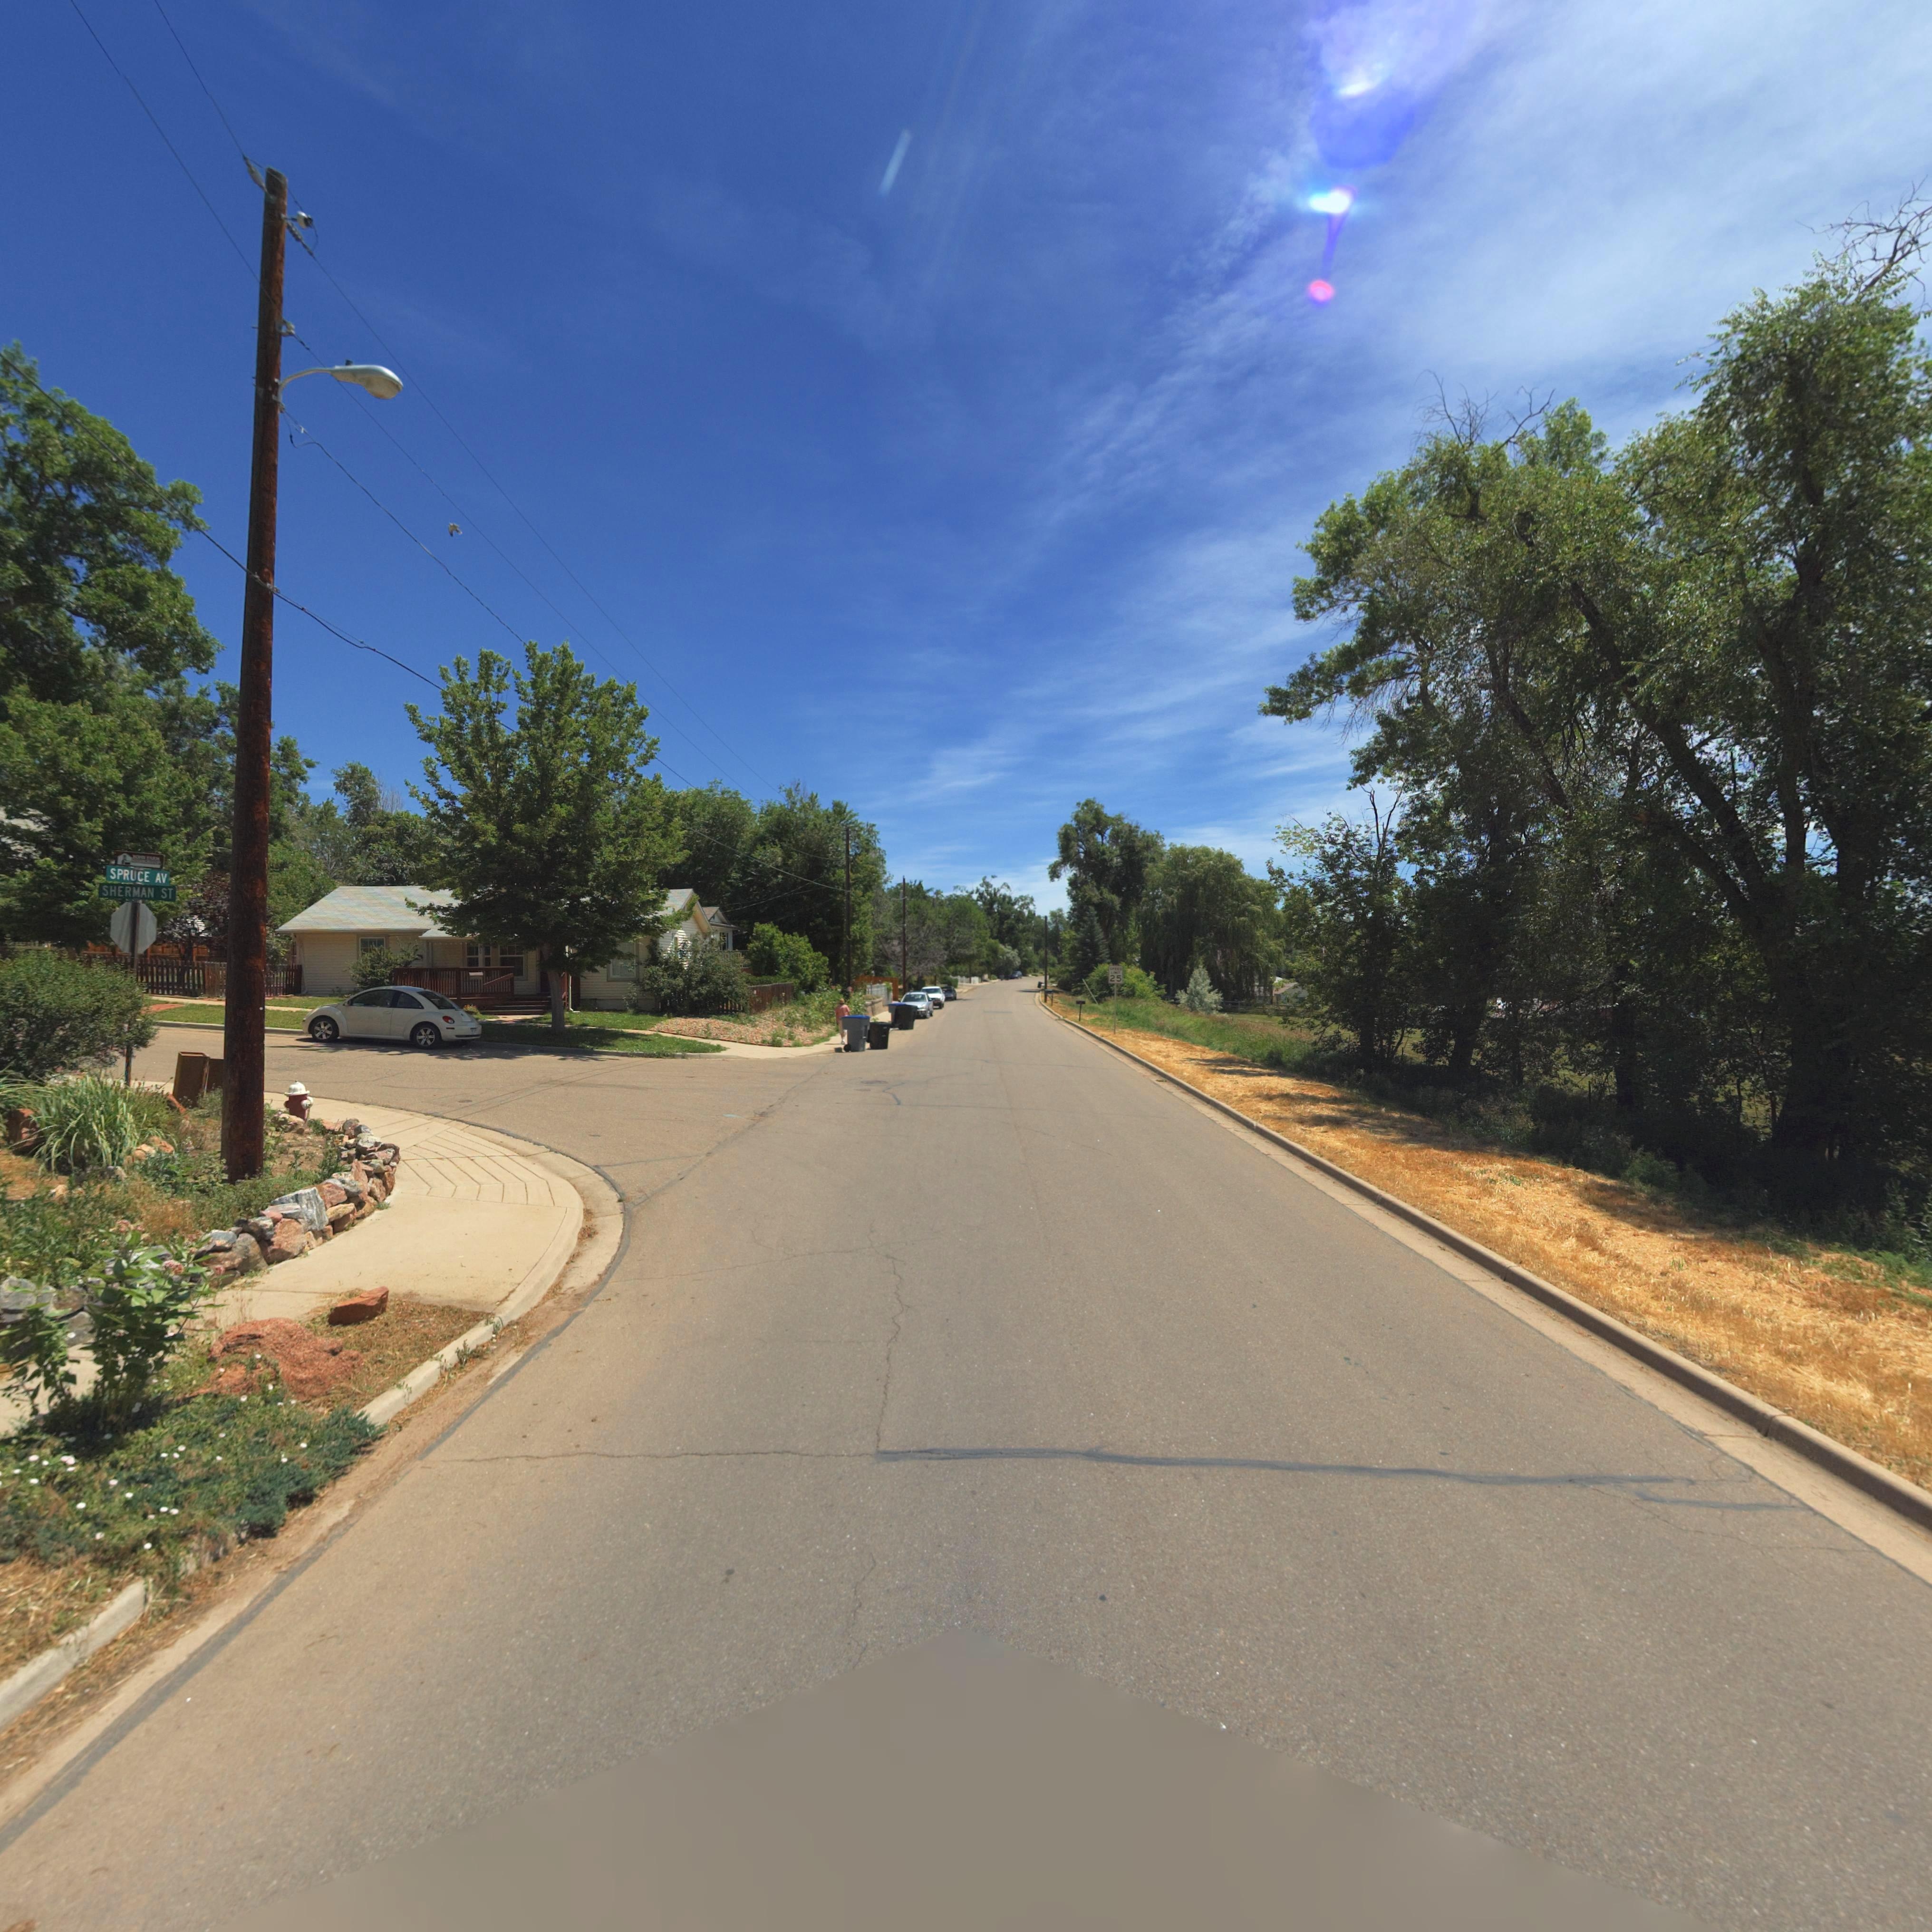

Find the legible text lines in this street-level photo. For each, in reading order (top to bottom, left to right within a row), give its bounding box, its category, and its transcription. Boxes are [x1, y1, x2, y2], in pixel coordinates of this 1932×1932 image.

[133, 855, 159, 860] None: x*
[110, 868, 166, 883] StreetName: SPRUCE AV
[102, 885, 173, 899] StreetName: SHERMAN ST
[479, 947, 481, 953] StreetNumber: *0